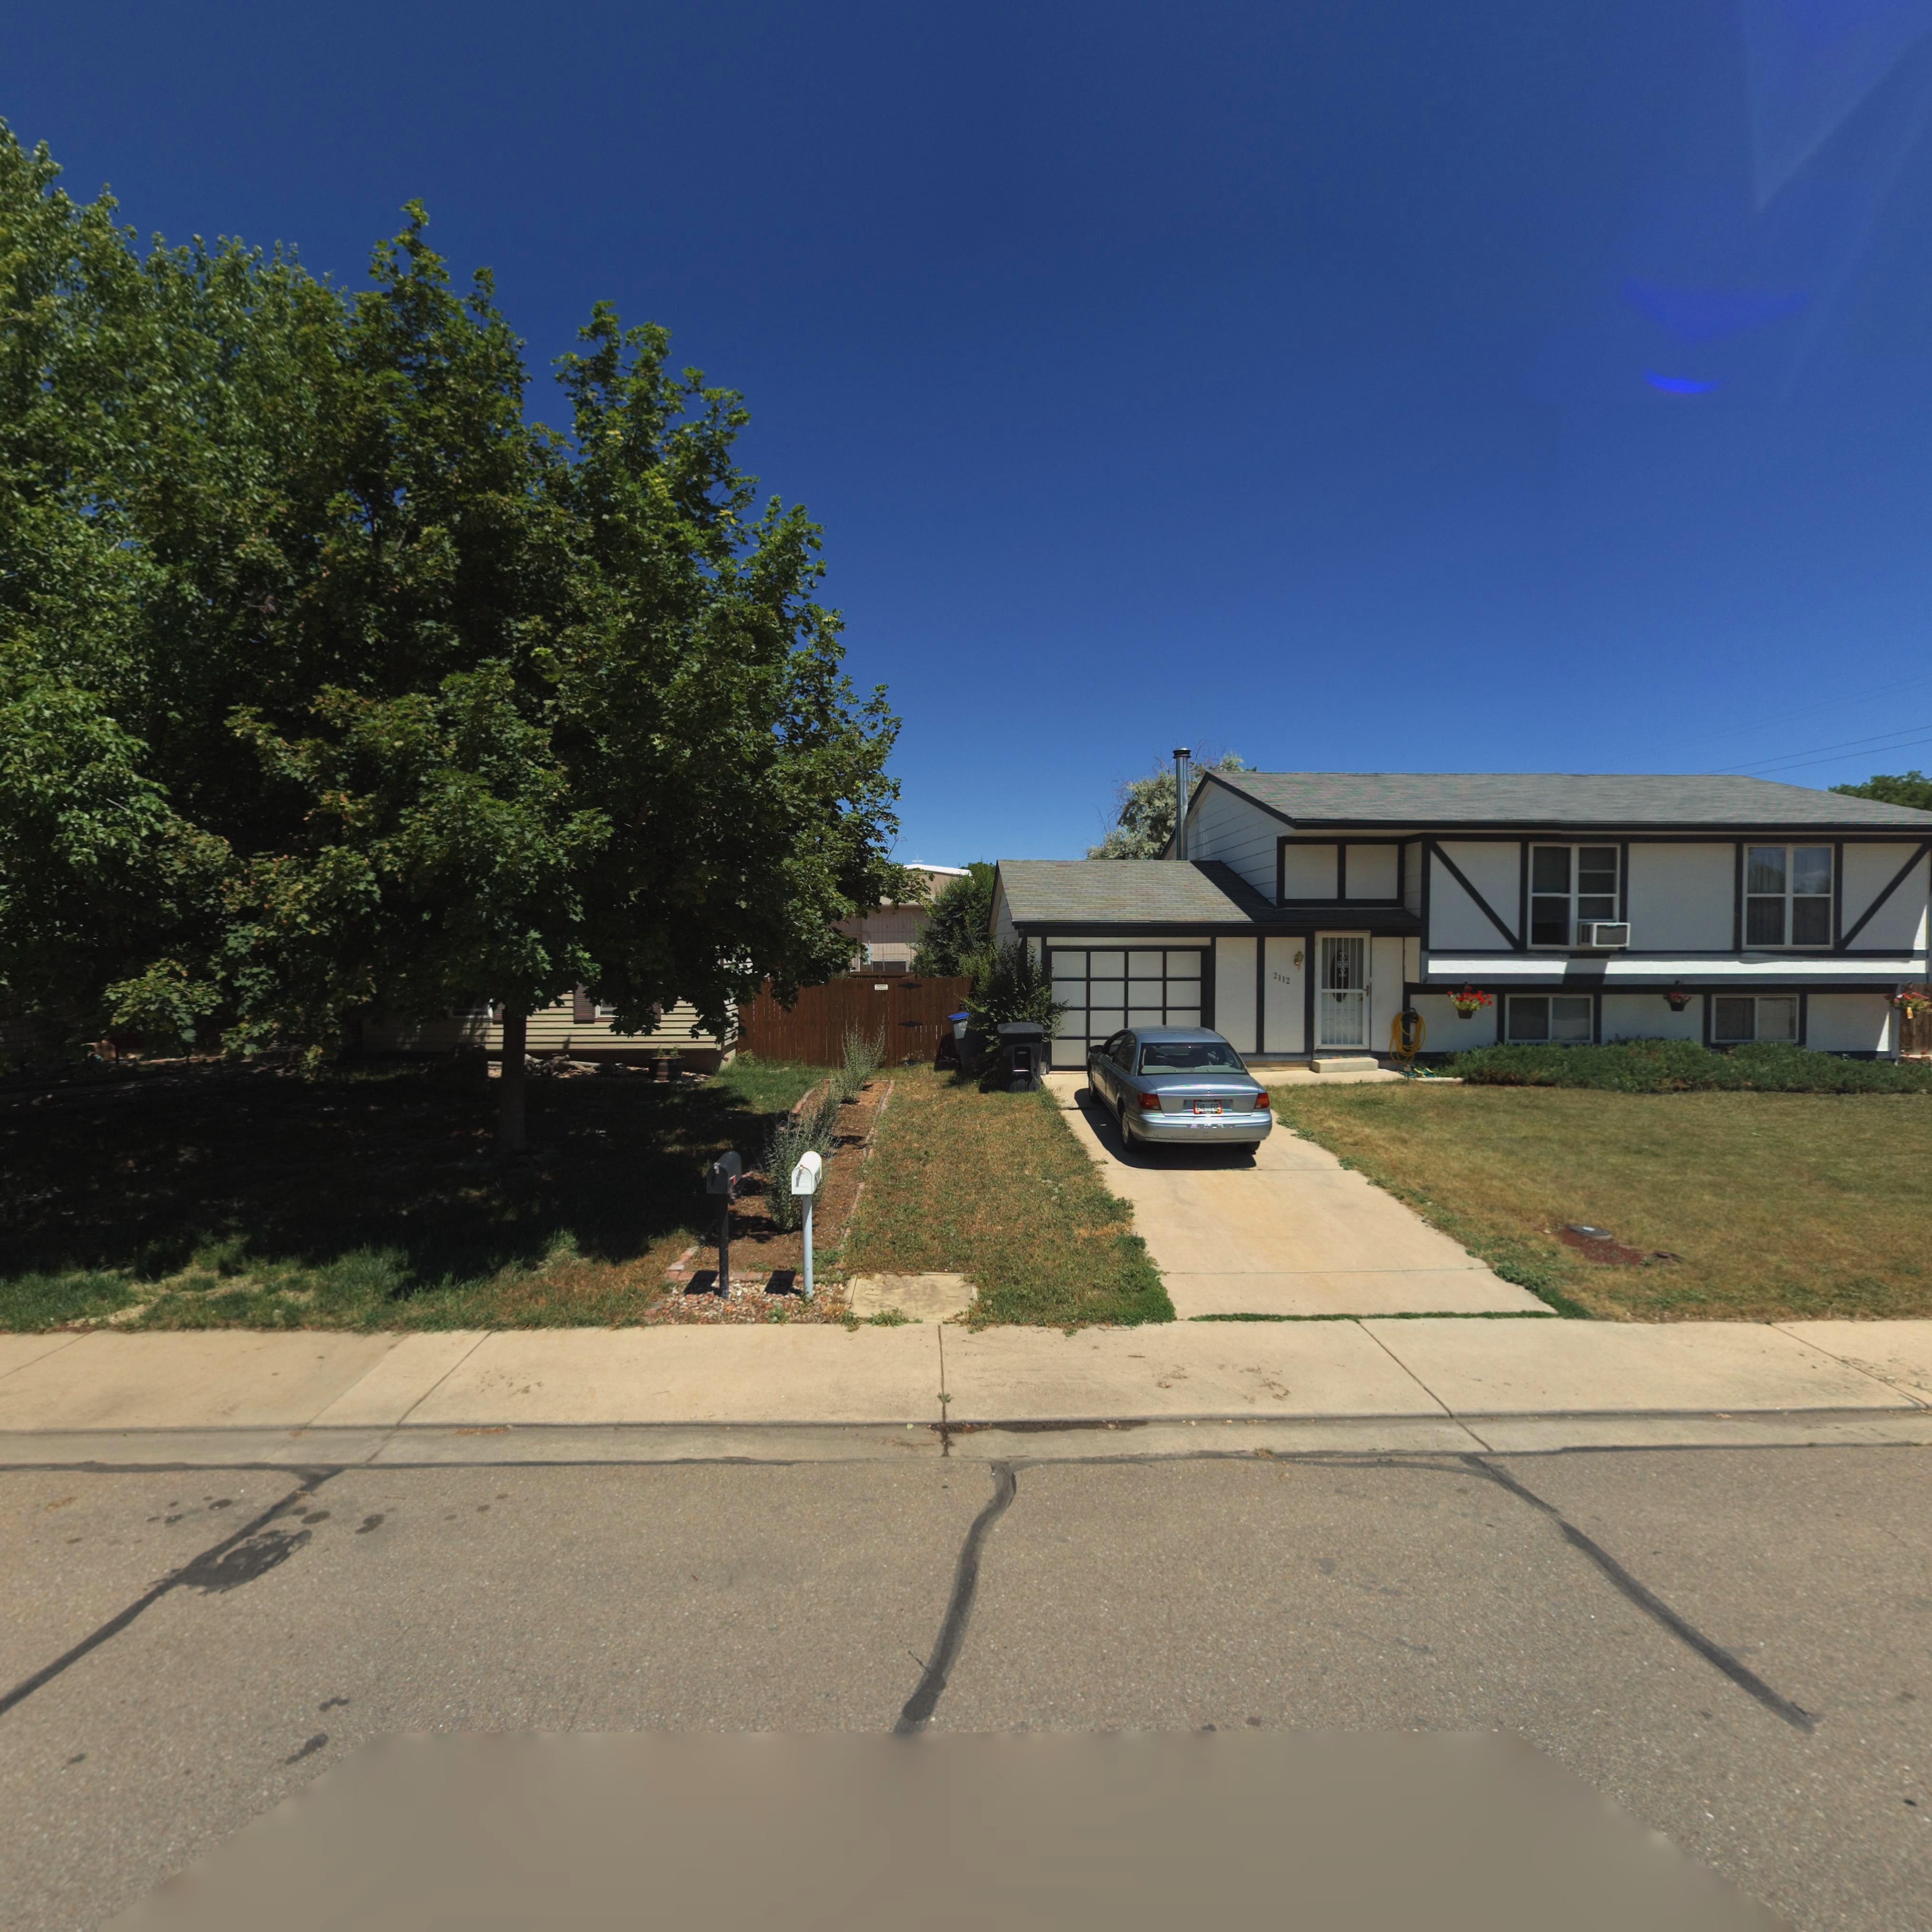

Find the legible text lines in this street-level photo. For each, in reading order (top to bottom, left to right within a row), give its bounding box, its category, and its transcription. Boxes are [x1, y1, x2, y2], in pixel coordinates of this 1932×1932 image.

[1273, 972, 1290, 984] StreetNumber: 2112